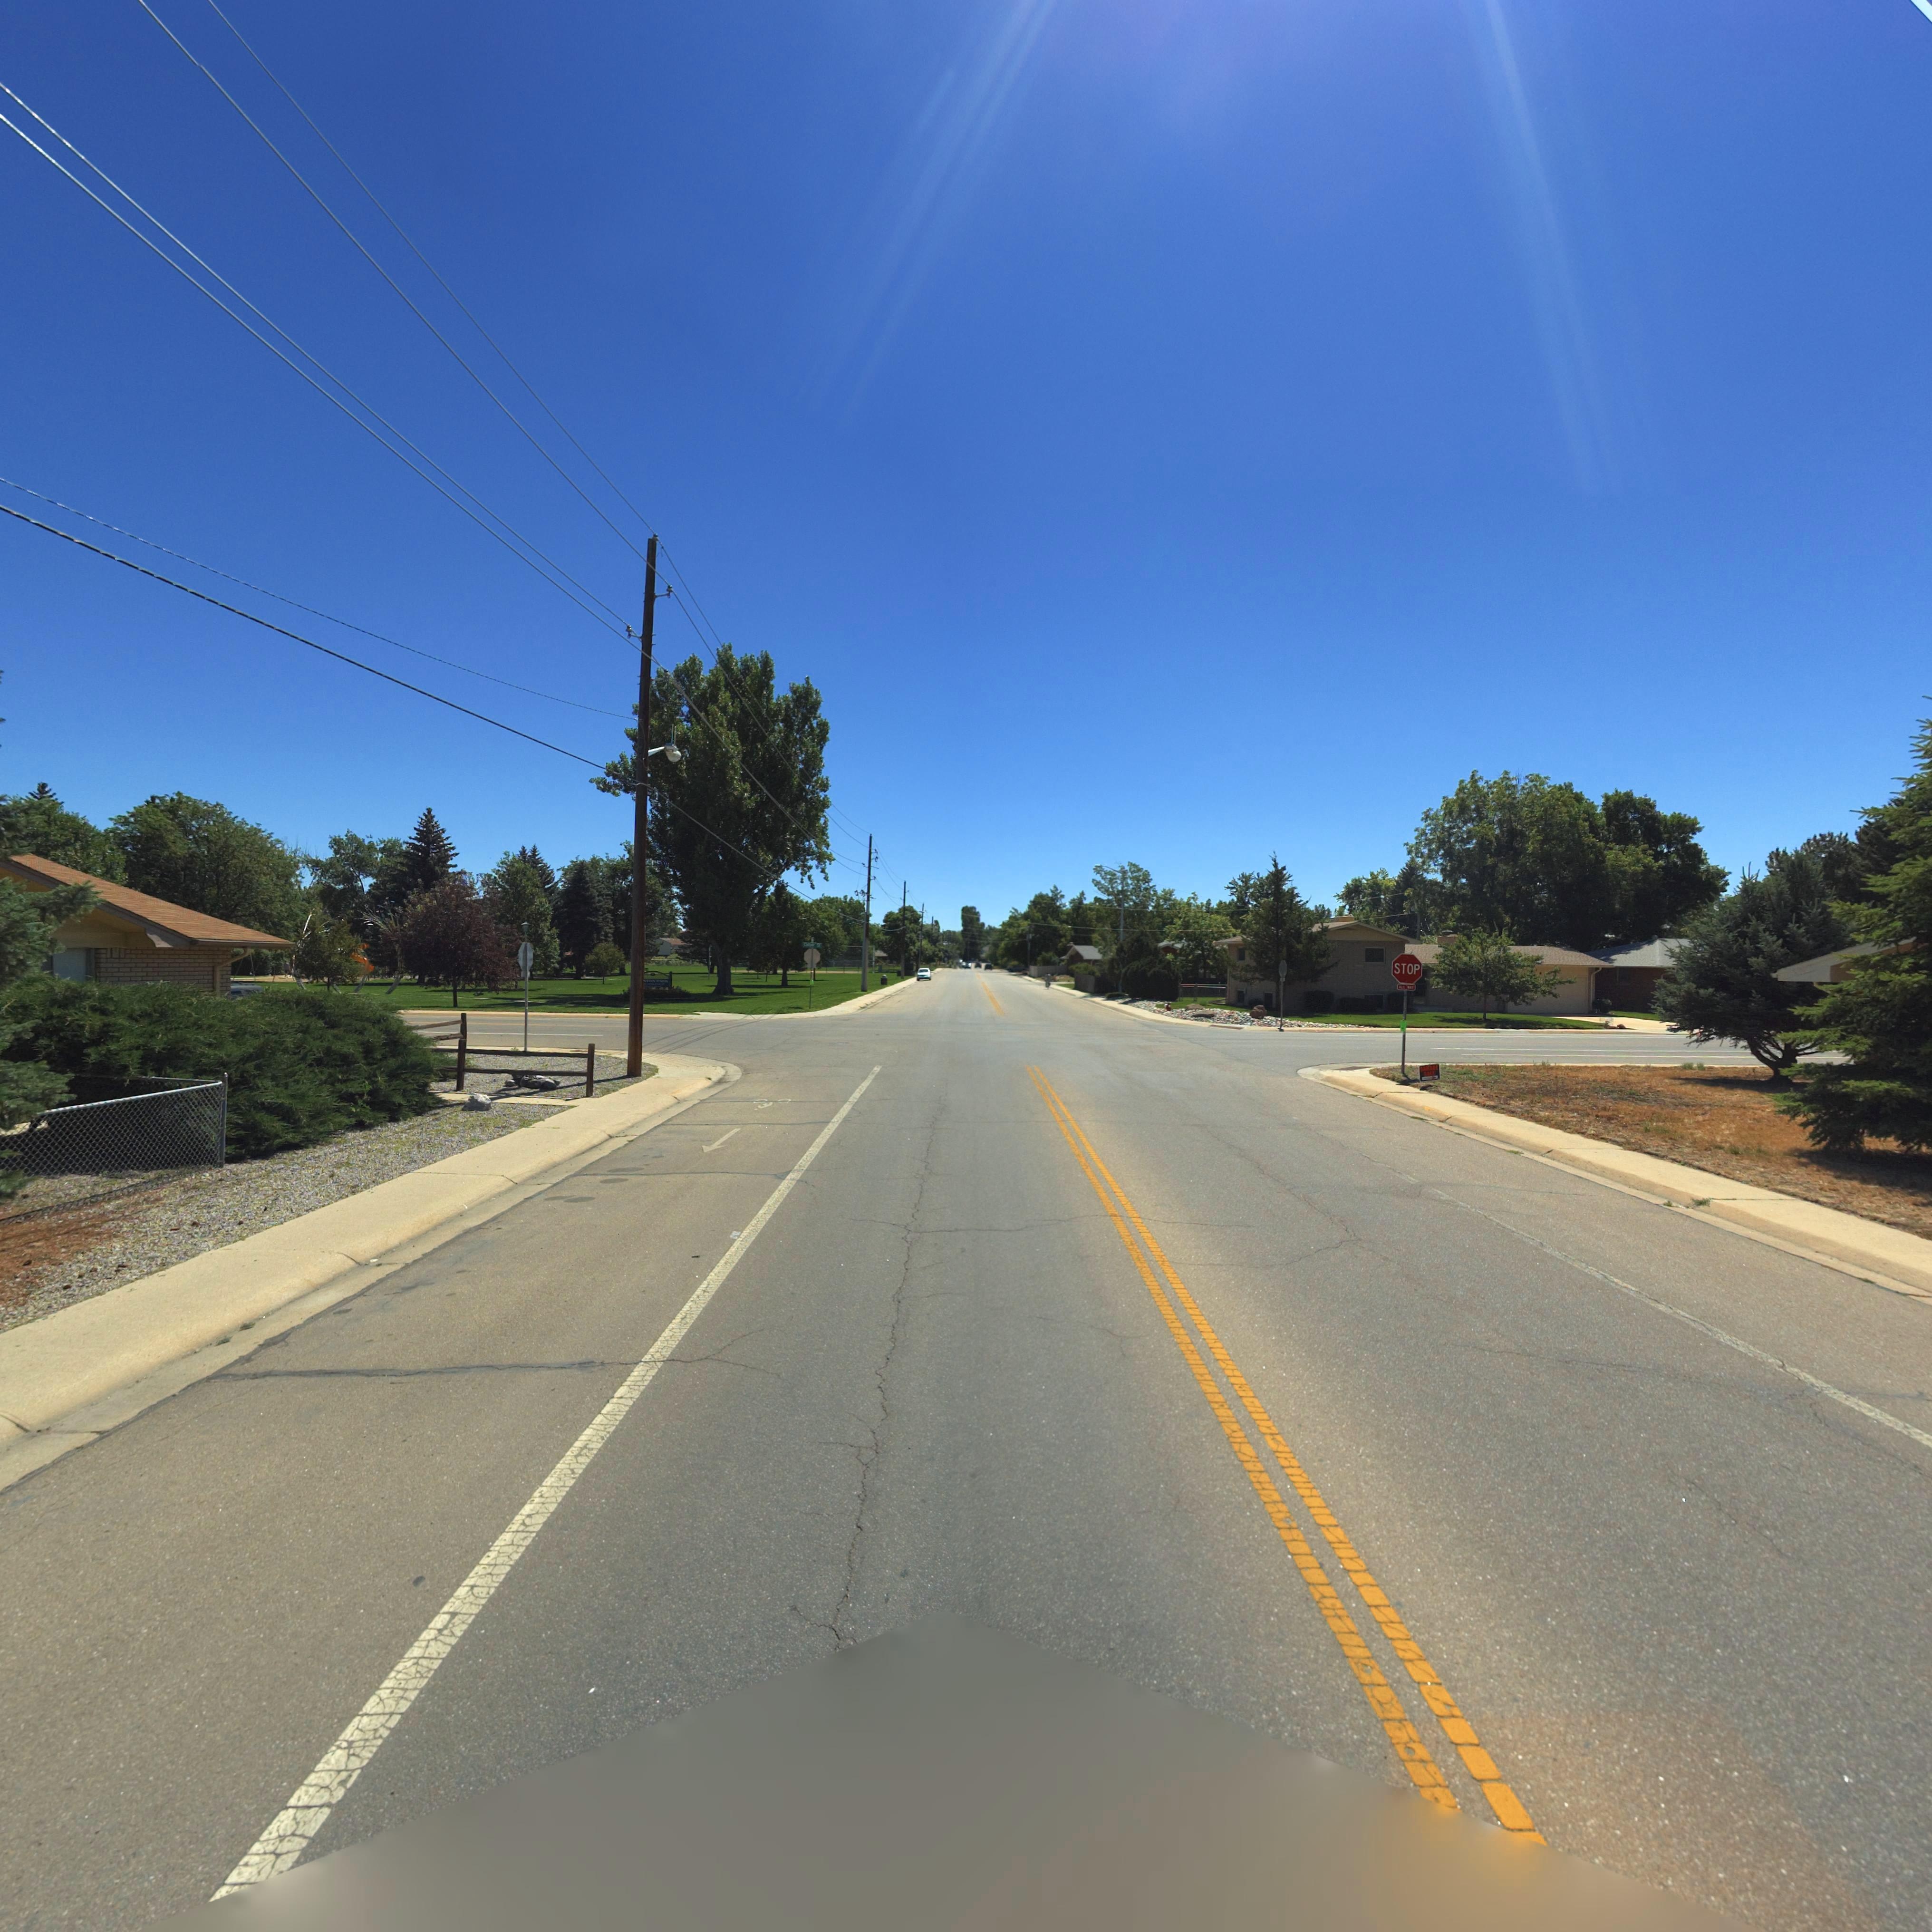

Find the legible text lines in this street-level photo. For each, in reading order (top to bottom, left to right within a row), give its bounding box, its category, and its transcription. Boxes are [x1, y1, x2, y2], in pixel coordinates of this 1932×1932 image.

[803, 942, 821, 947] StreetName: C*** S*